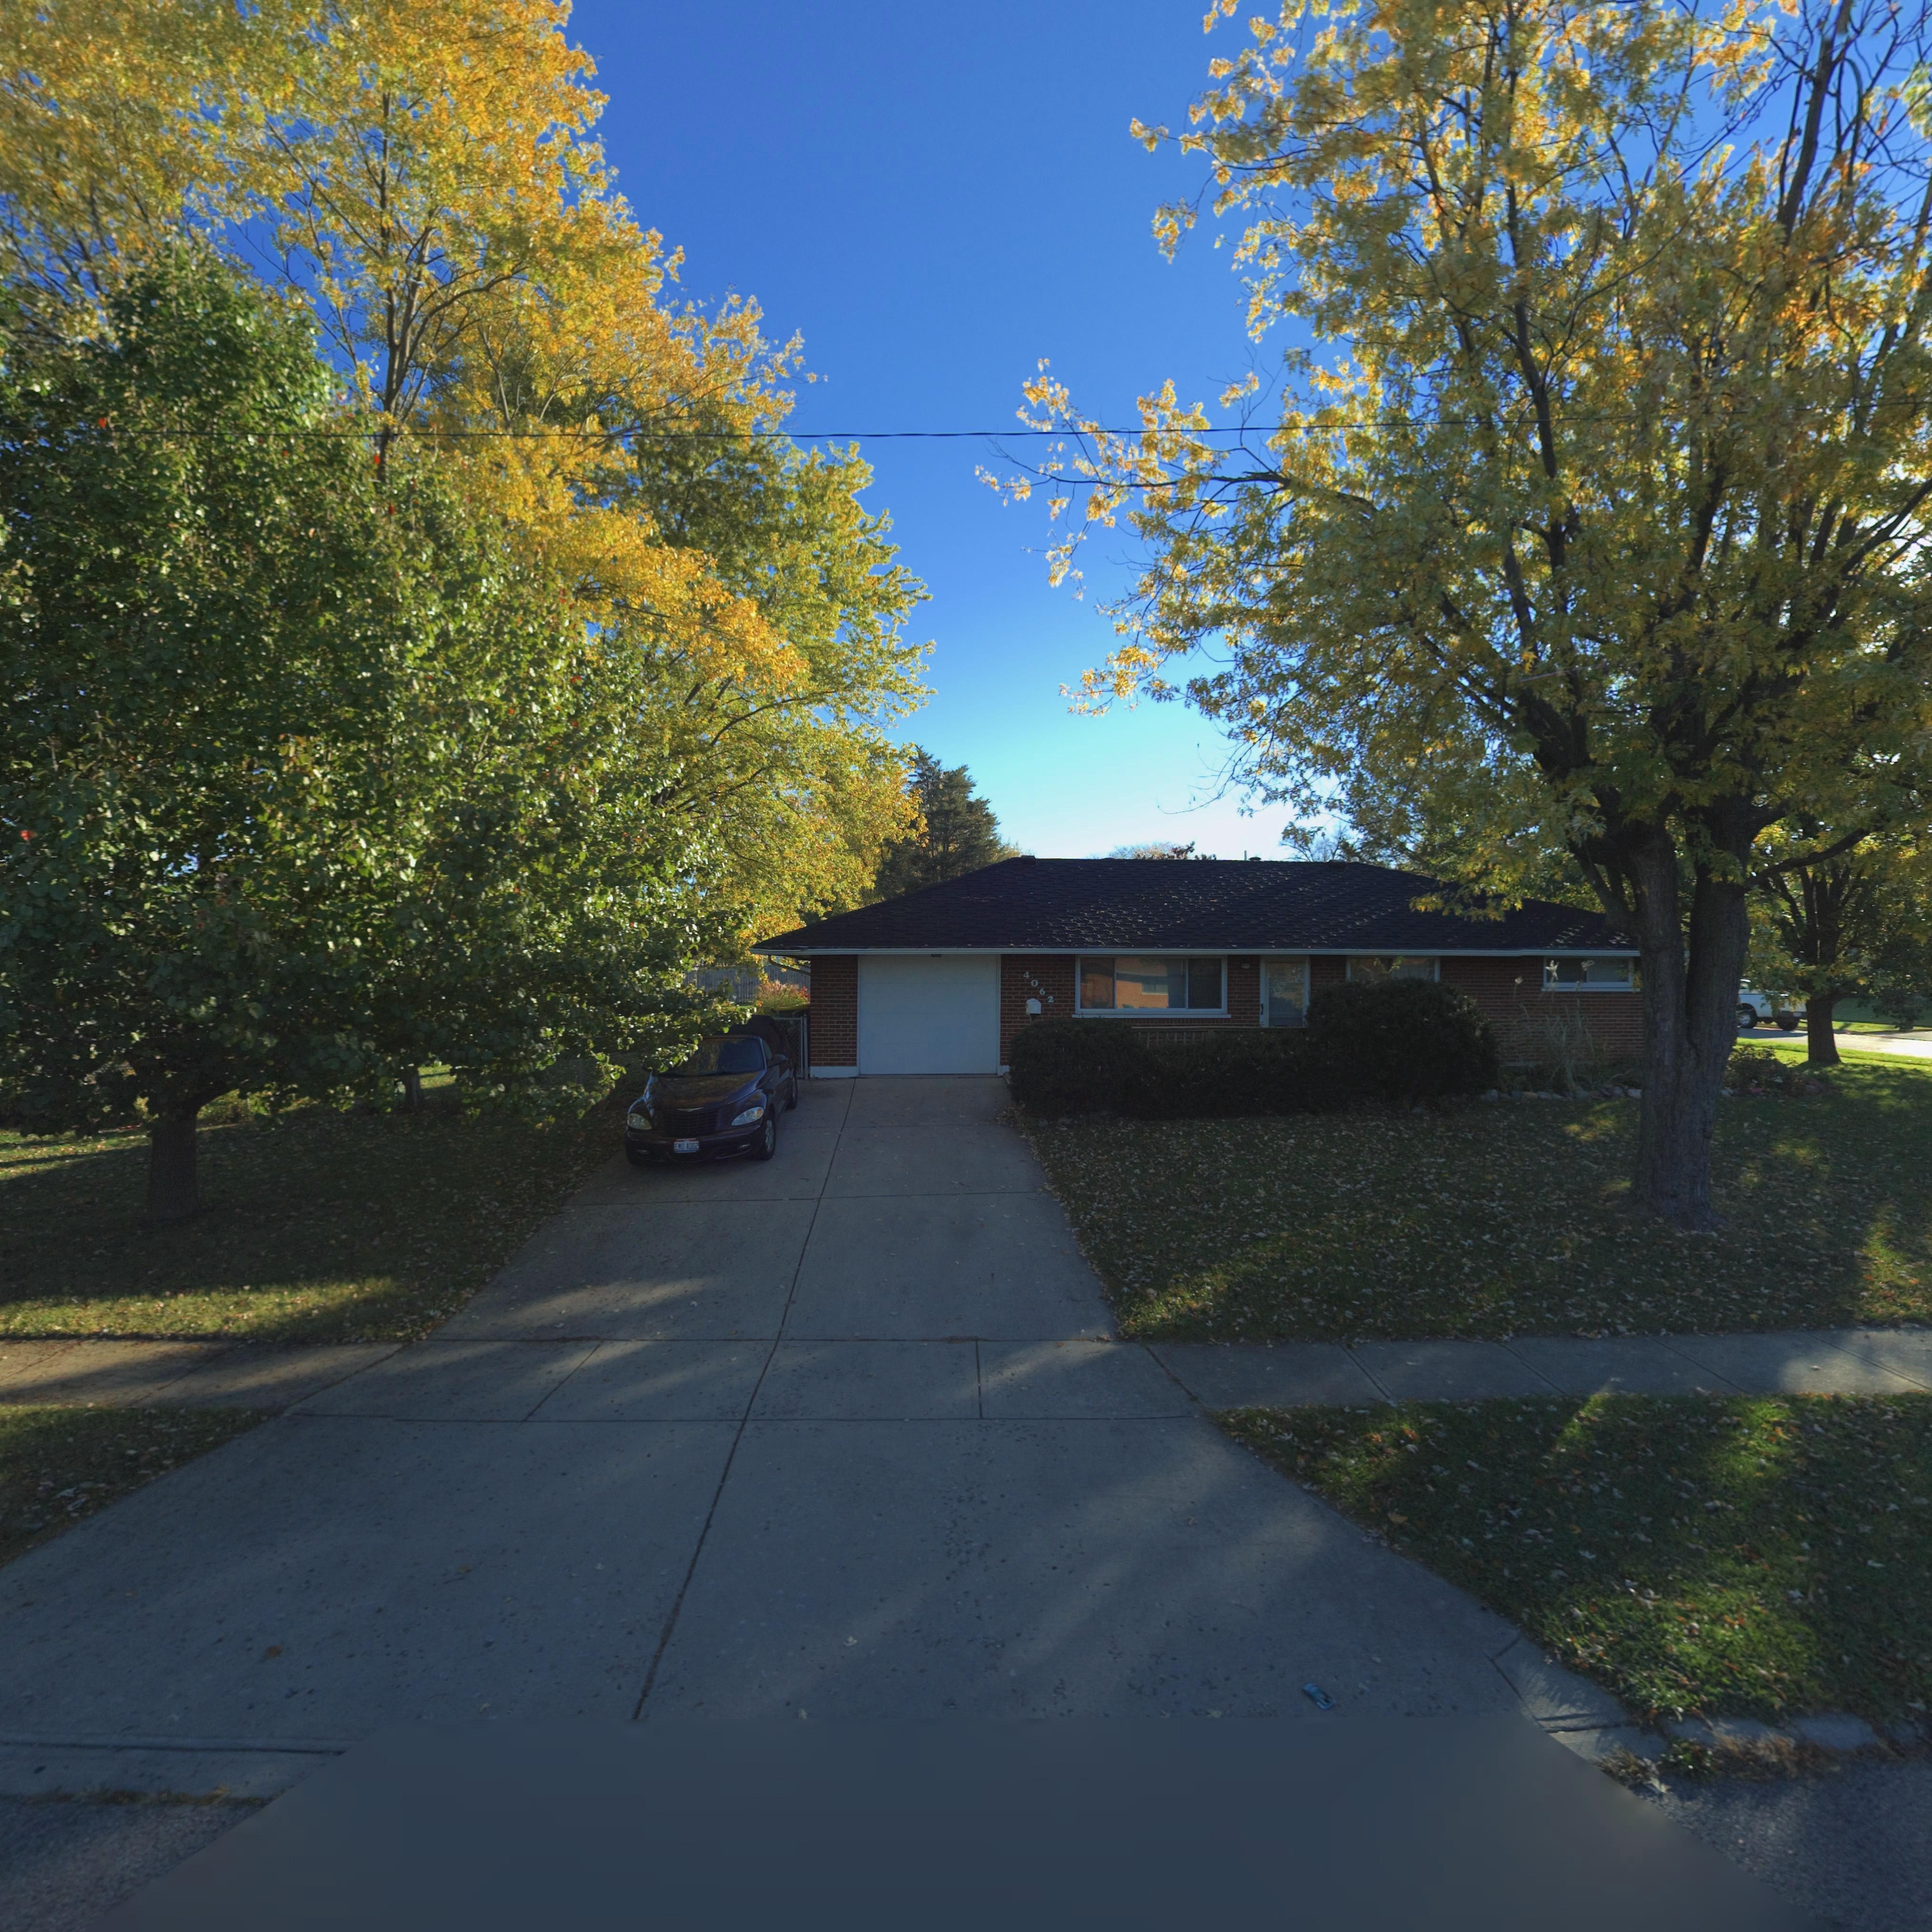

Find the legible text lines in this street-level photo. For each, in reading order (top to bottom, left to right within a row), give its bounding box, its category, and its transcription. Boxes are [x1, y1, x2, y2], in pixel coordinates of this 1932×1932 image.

[1023, 971, 1055, 1003] StreetNumber: 4062